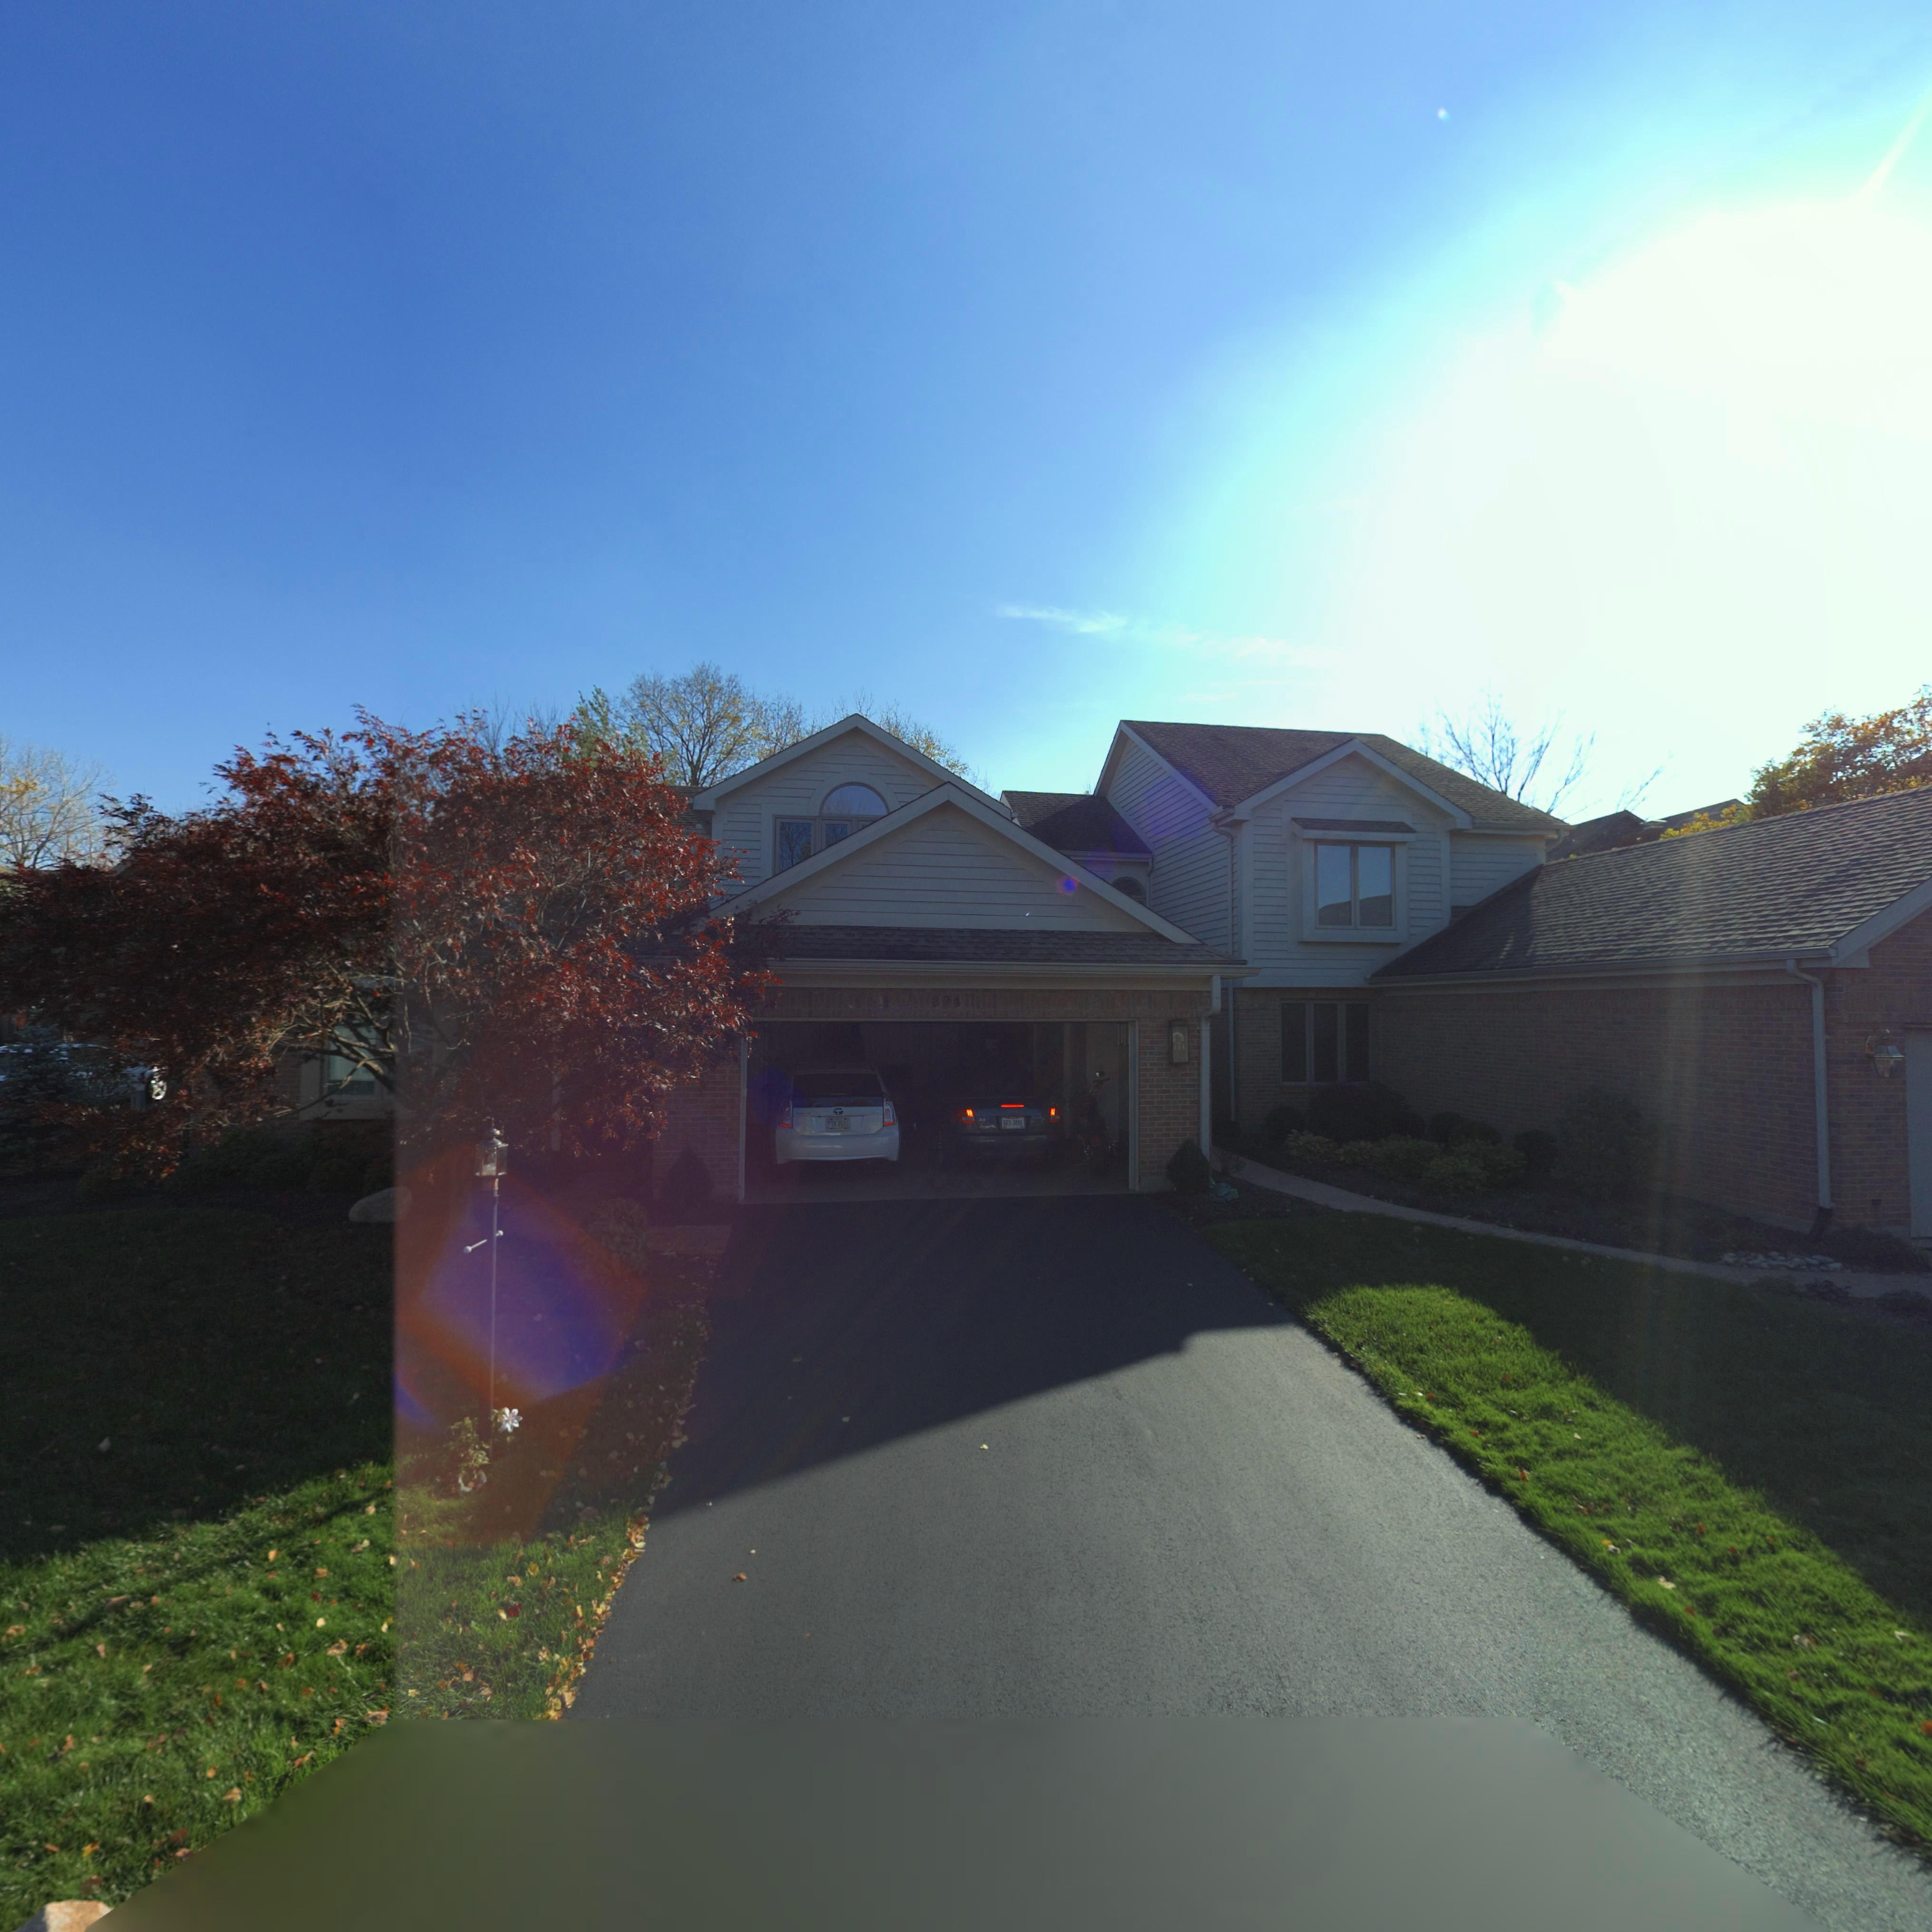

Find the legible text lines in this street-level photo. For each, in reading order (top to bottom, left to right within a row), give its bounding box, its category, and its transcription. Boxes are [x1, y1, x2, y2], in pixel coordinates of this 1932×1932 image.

[931, 994, 962, 1008] StreetNumber: 8*4